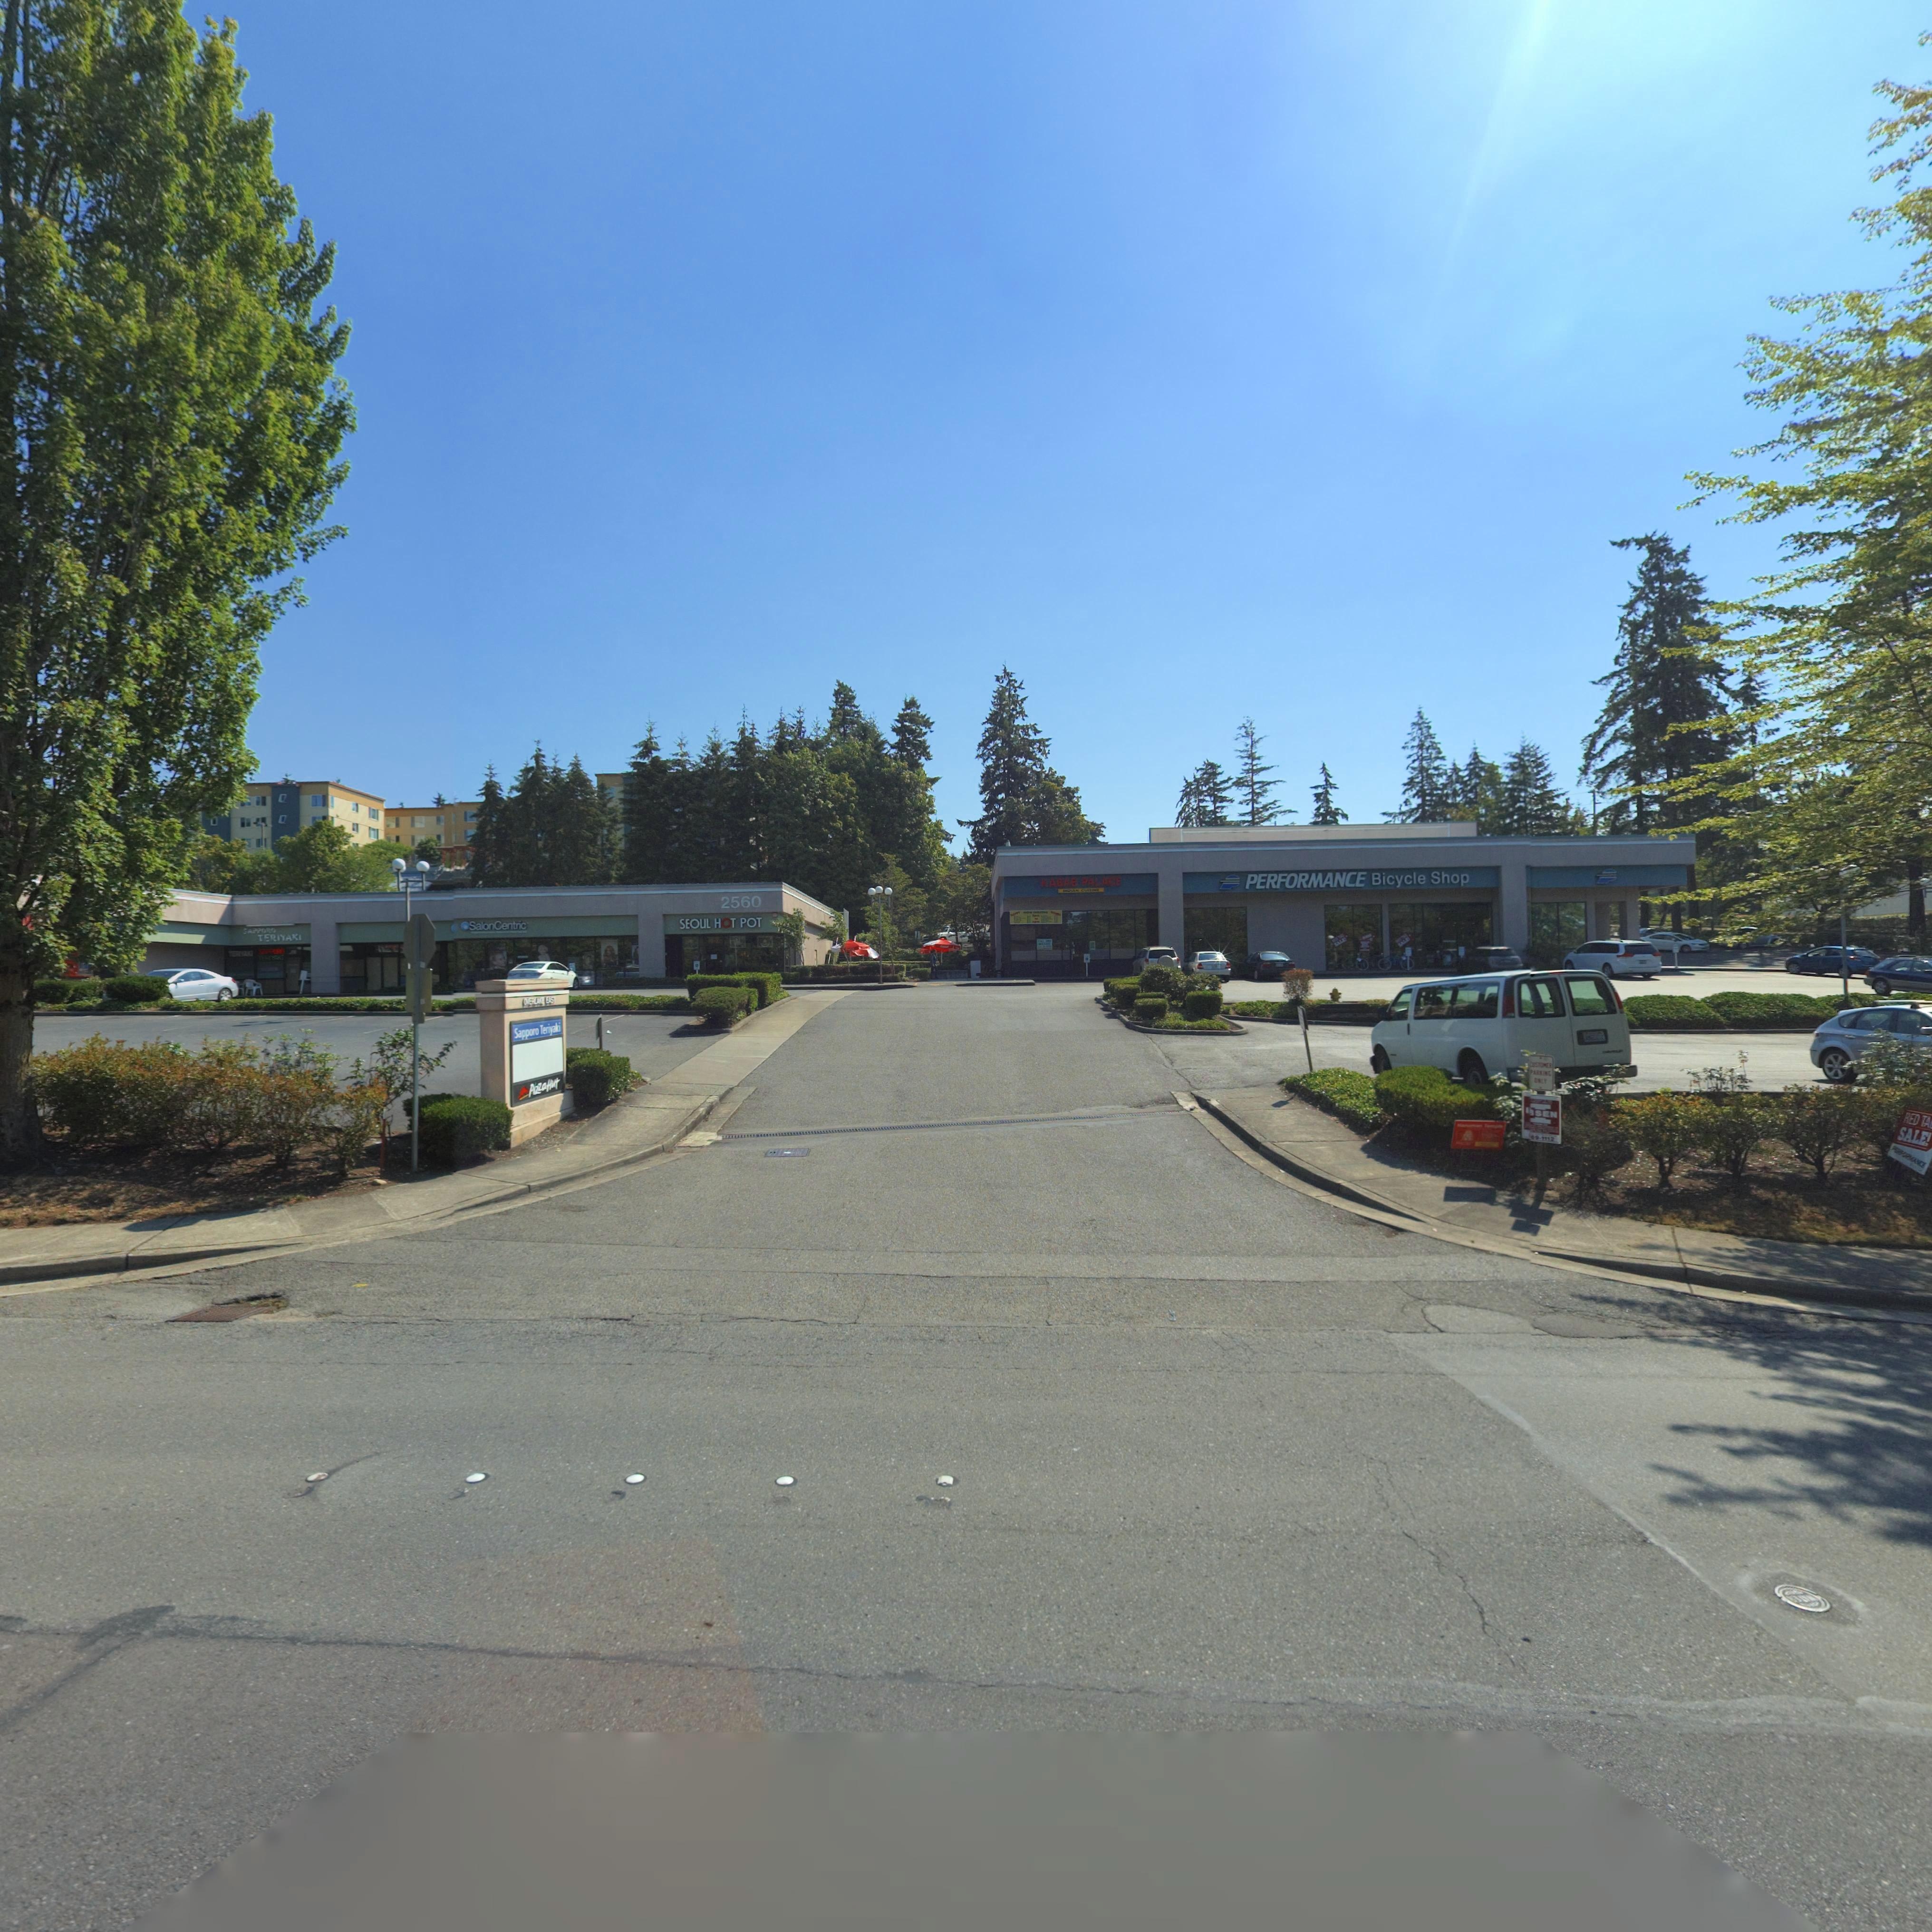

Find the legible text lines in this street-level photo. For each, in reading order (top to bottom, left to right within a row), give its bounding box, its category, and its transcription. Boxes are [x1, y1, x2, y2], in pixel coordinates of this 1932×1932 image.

[1040, 877, 1121, 887] BusinessName: KABAB PALACE
[1243, 871, 1369, 890] BusinessName: PERFORMANCE
[1372, 870, 1470, 887] BusinessName: Bicycle Shop
[720, 895, 762, 909] StreetNumber: 2560
[468, 920, 527, 930] BusinessName: SalonCentric
[679, 917, 763, 930] BusinessName: SEOUL HOT POT
[258, 933, 302, 942] BusinessName: TERIYAKI
[514, 1022, 562, 1040] BusinessName: Sapporo Teriyaki
[529, 1077, 561, 1098] BusinessName: PizzaHut